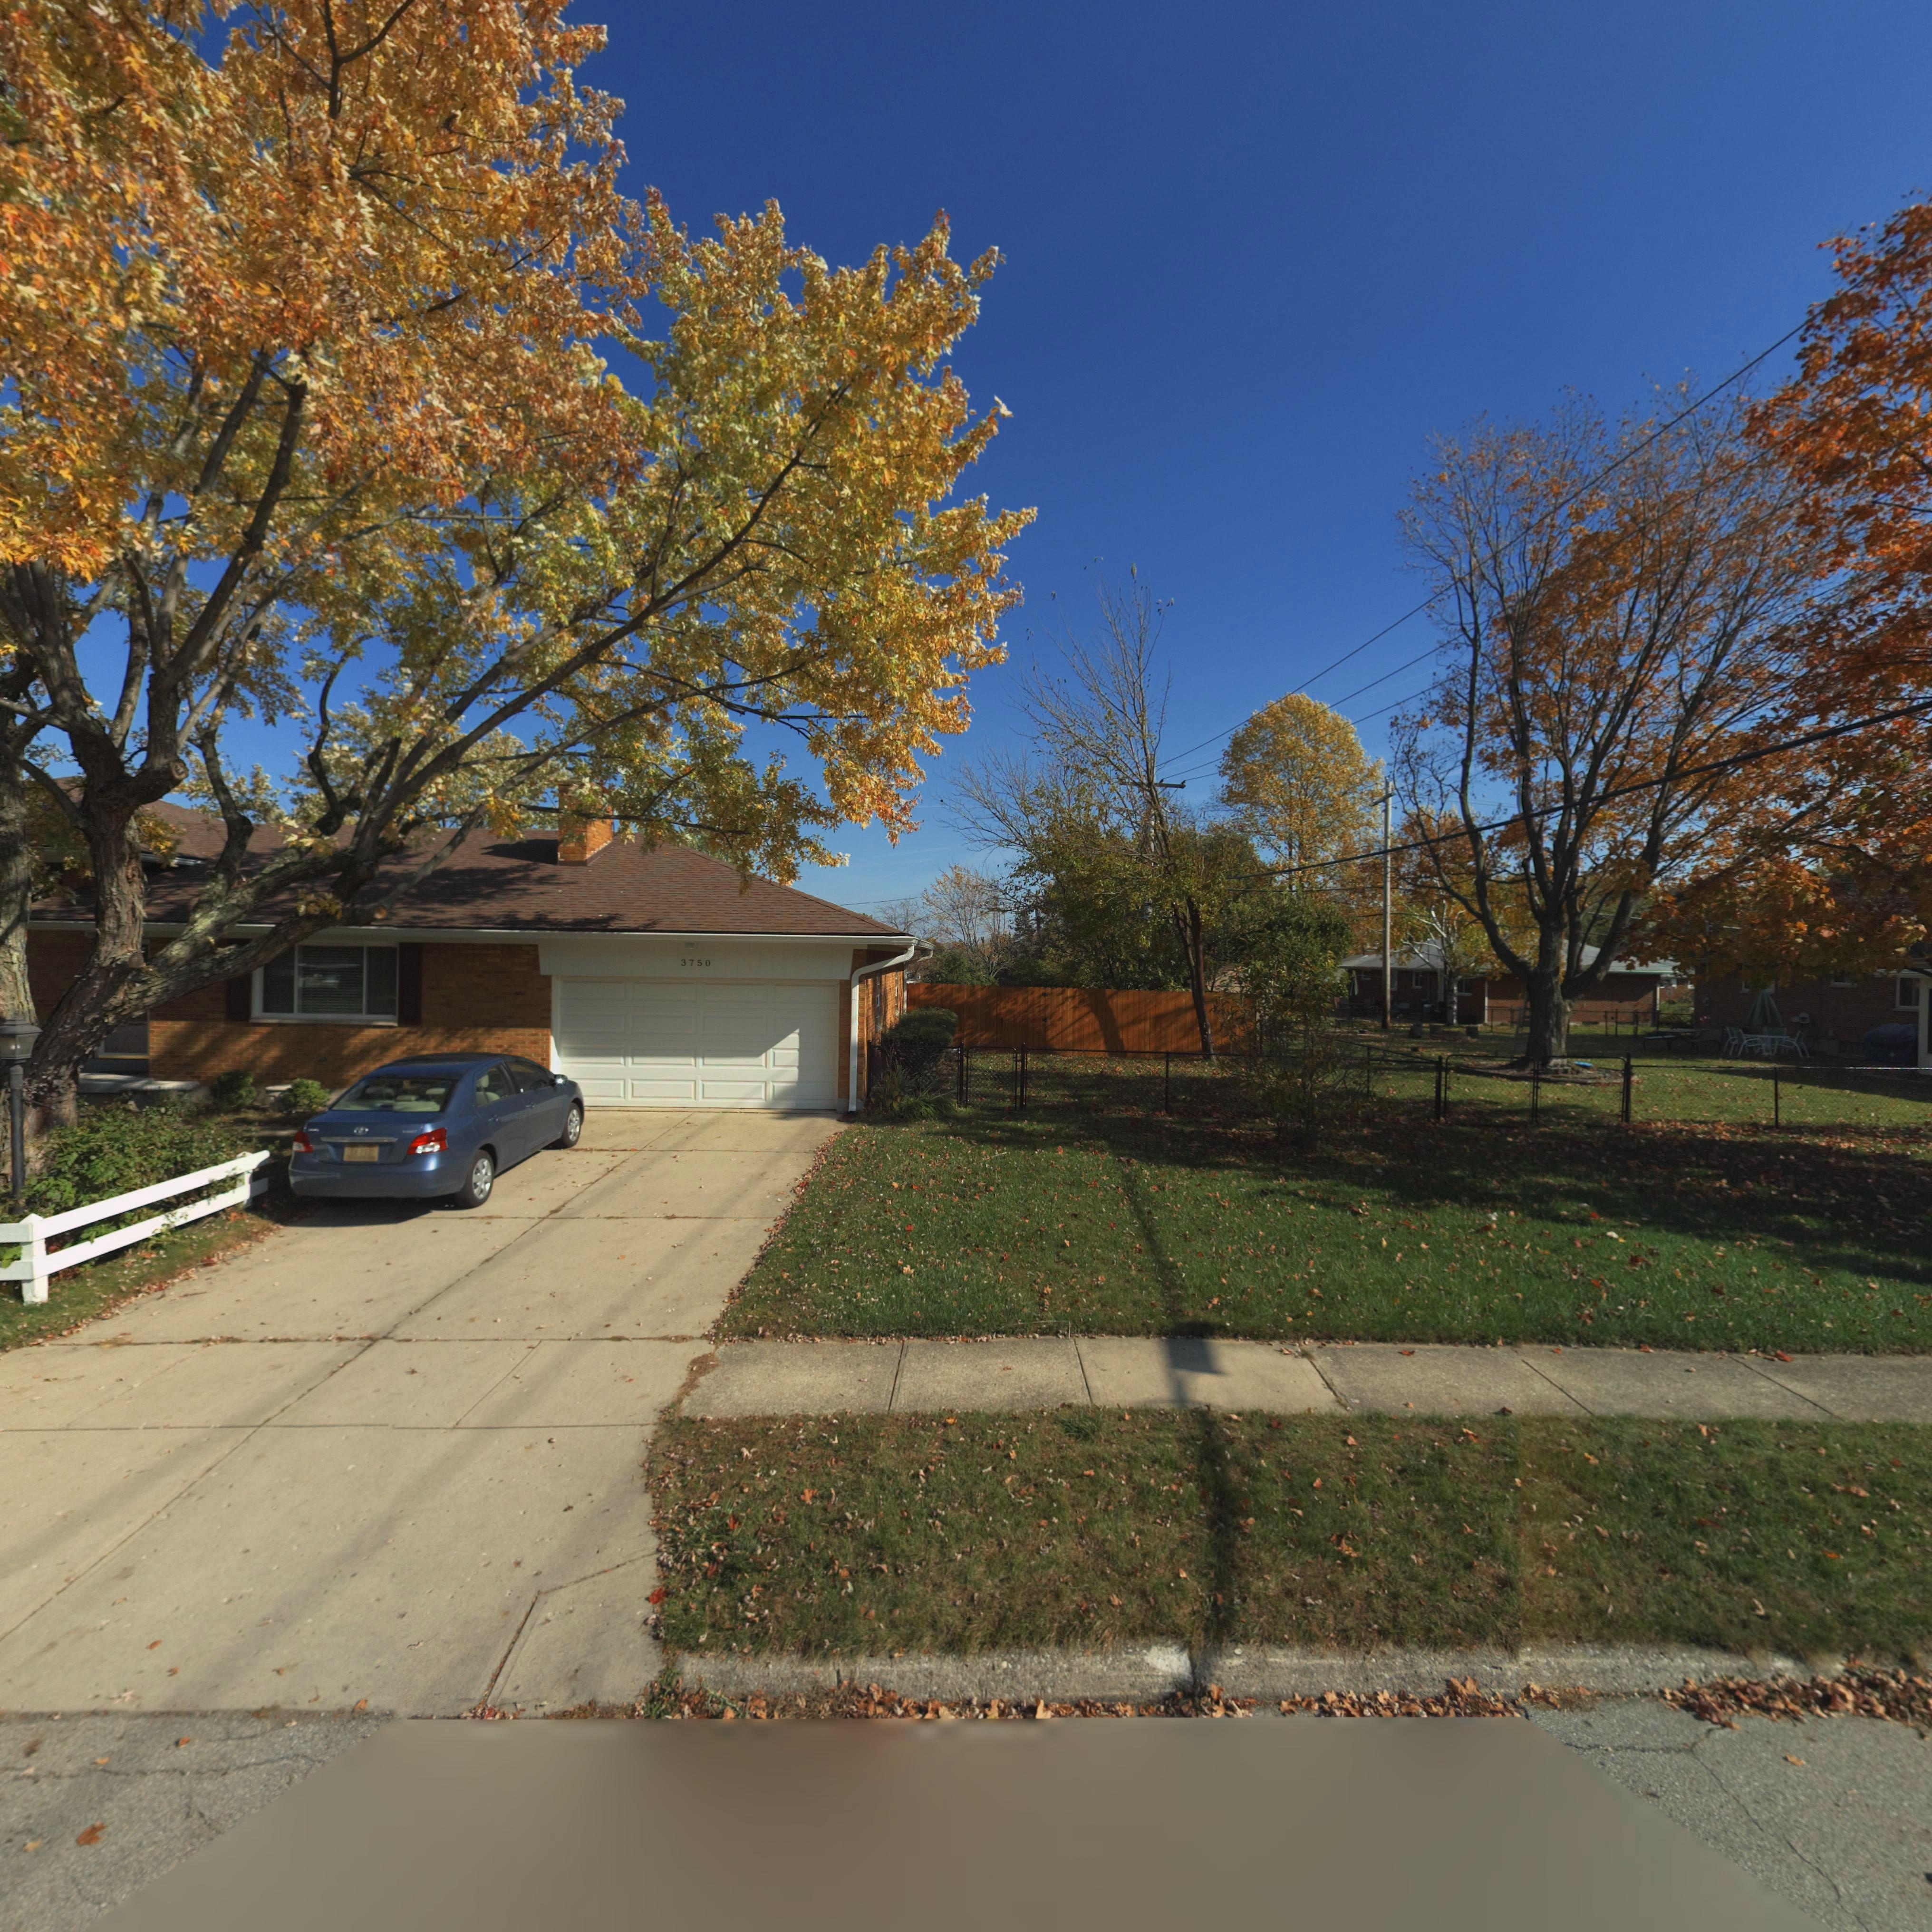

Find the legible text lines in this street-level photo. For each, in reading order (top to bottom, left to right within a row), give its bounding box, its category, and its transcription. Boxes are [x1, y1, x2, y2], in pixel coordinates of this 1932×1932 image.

[680, 958, 711, 967] StreetNumber: 3750